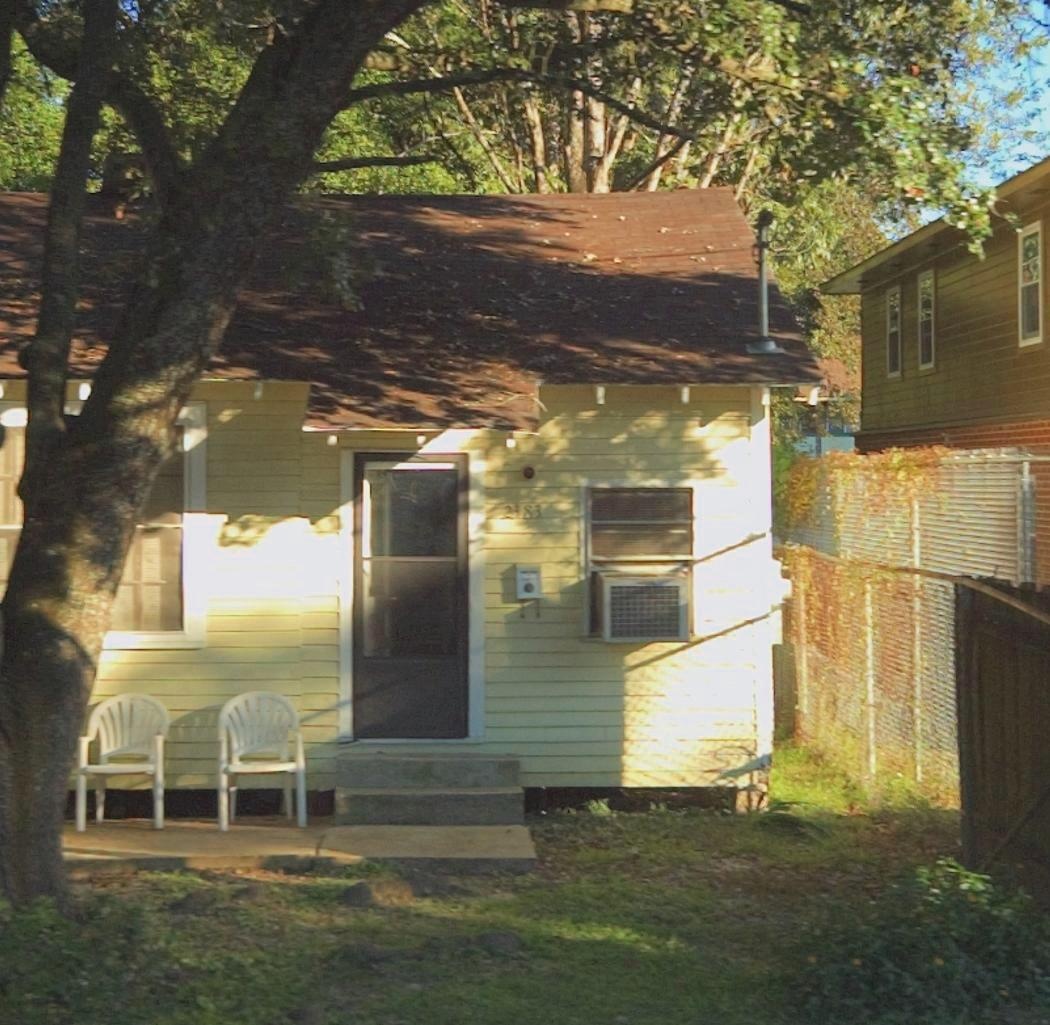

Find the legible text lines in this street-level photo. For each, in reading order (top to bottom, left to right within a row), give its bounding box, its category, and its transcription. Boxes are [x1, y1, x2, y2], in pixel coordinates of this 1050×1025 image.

[502, 503, 542, 520] StreetNumber: 2183